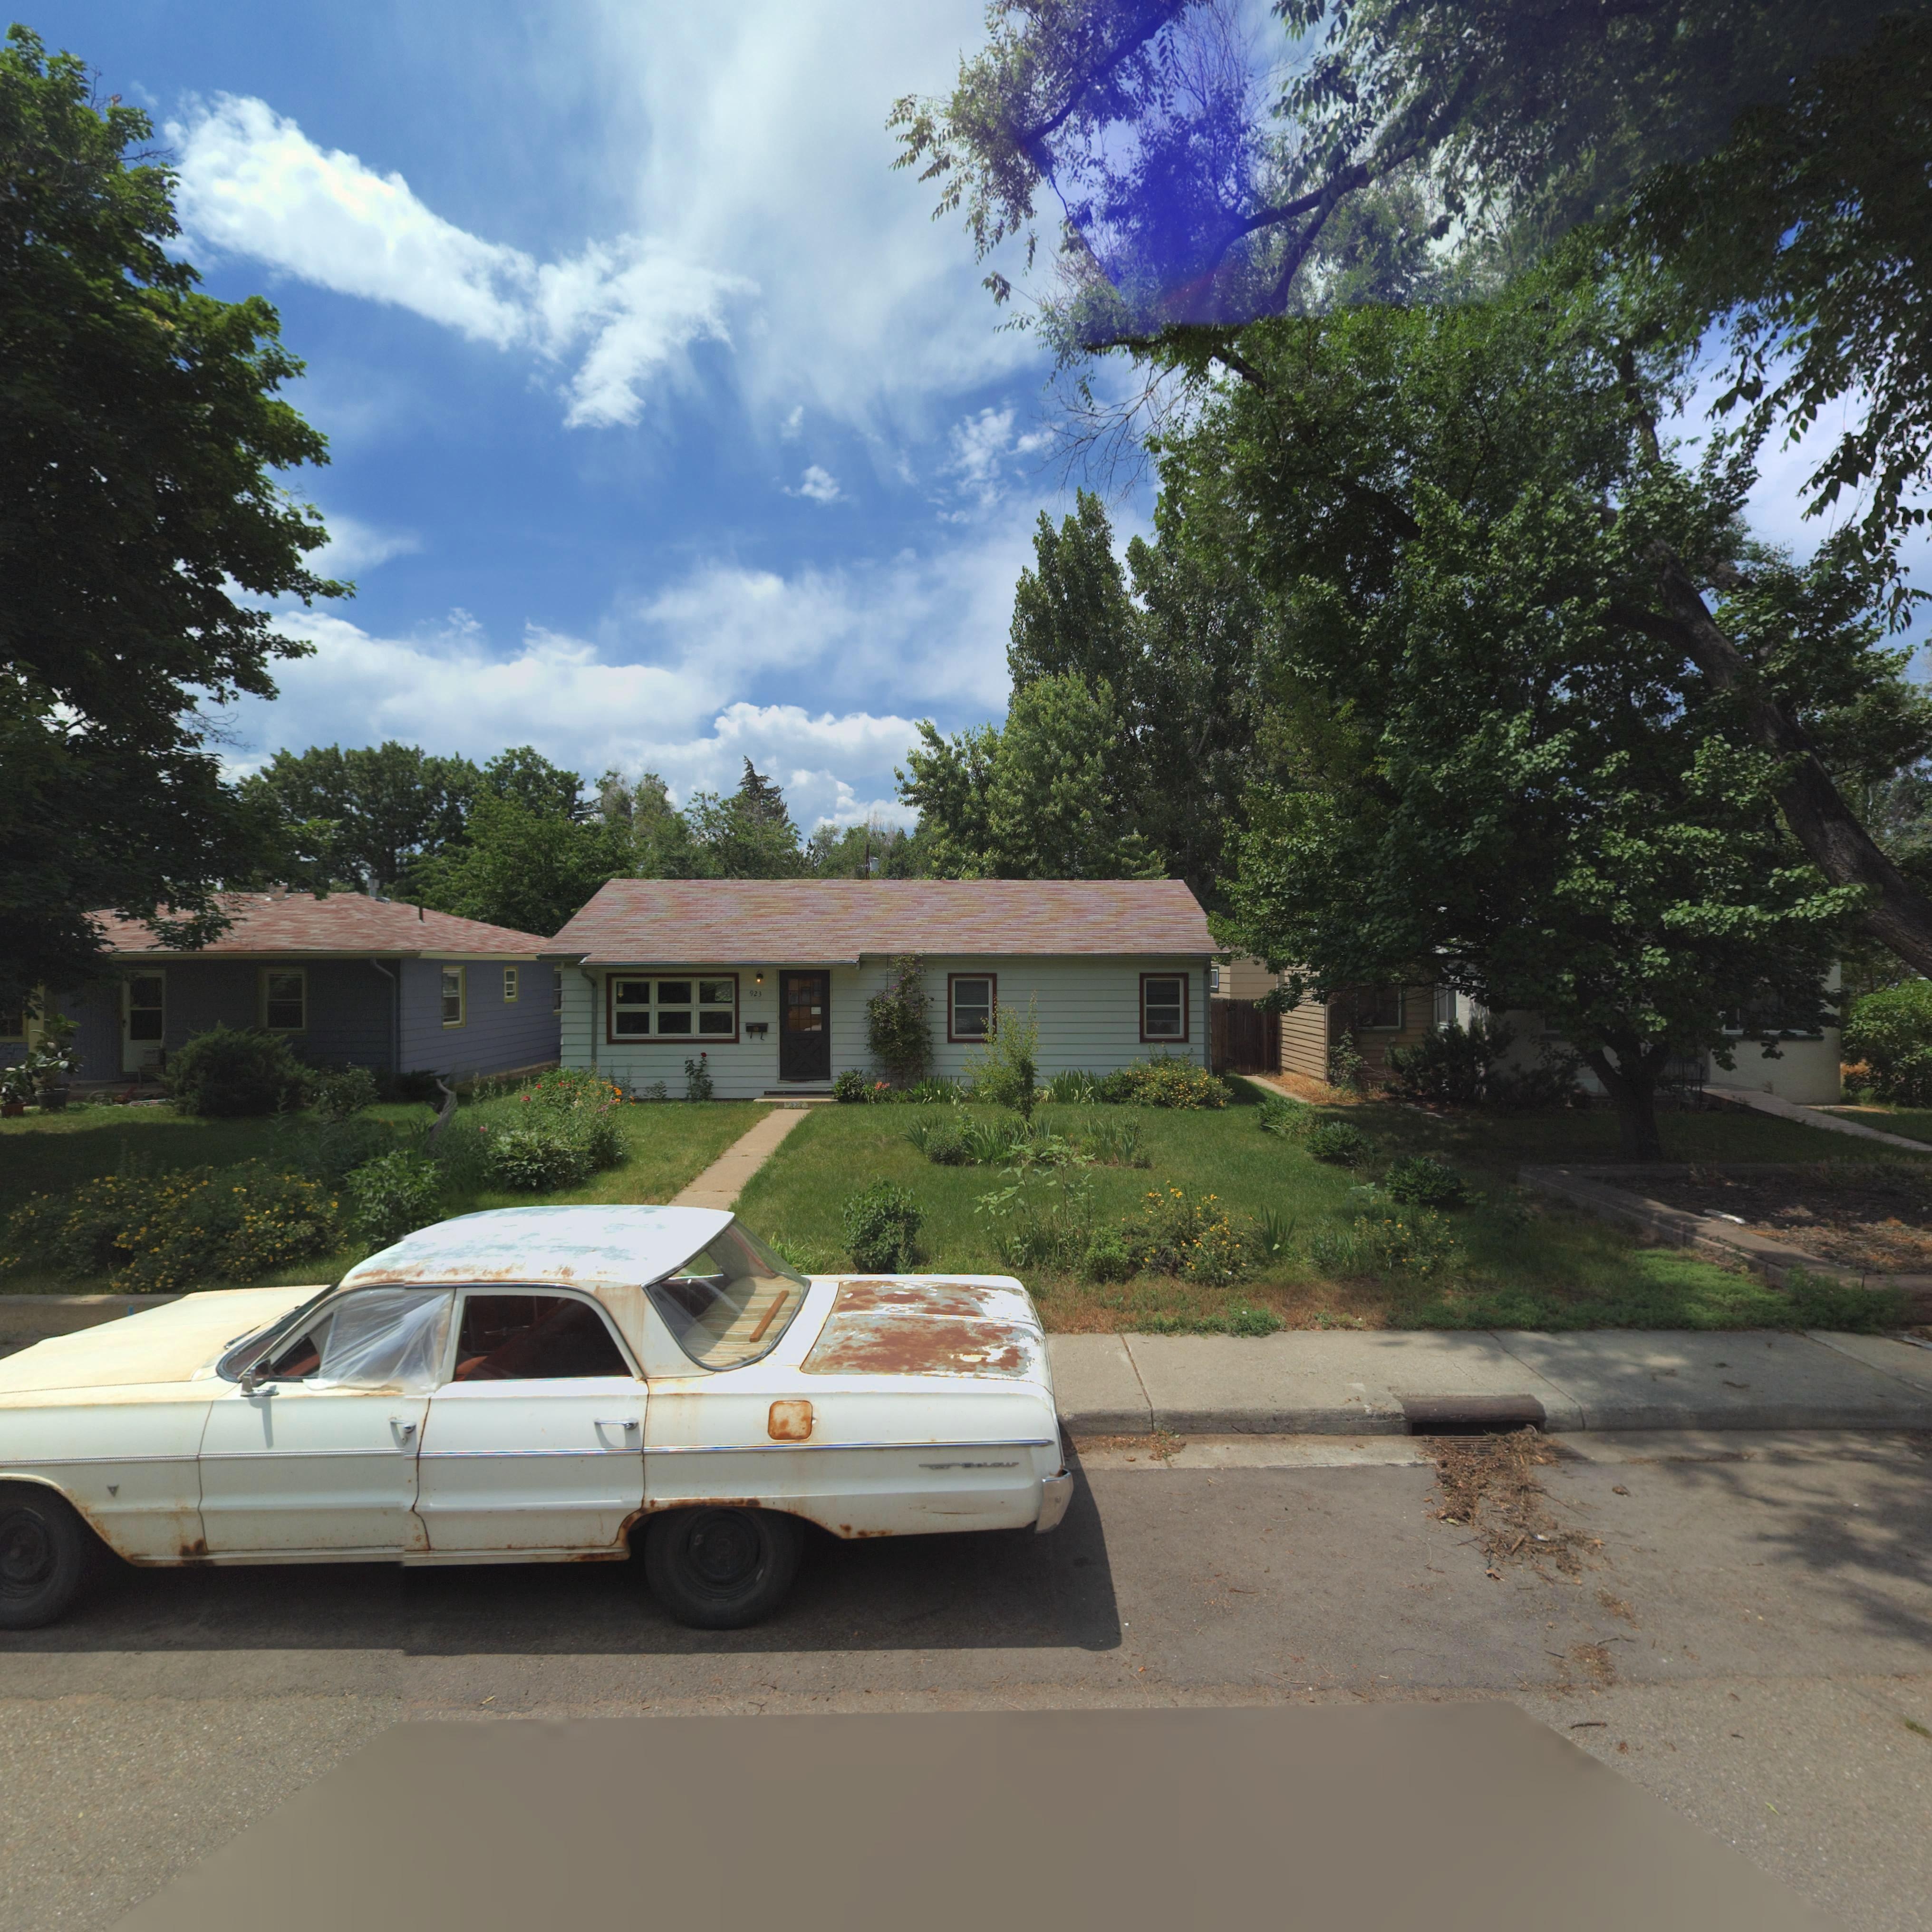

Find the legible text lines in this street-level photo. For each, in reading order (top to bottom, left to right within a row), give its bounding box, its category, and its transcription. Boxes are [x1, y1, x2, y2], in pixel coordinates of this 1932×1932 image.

[749, 989, 762, 997] StreetNumber: 923
[789, 1102, 802, 1108] StreetNumber: *2*